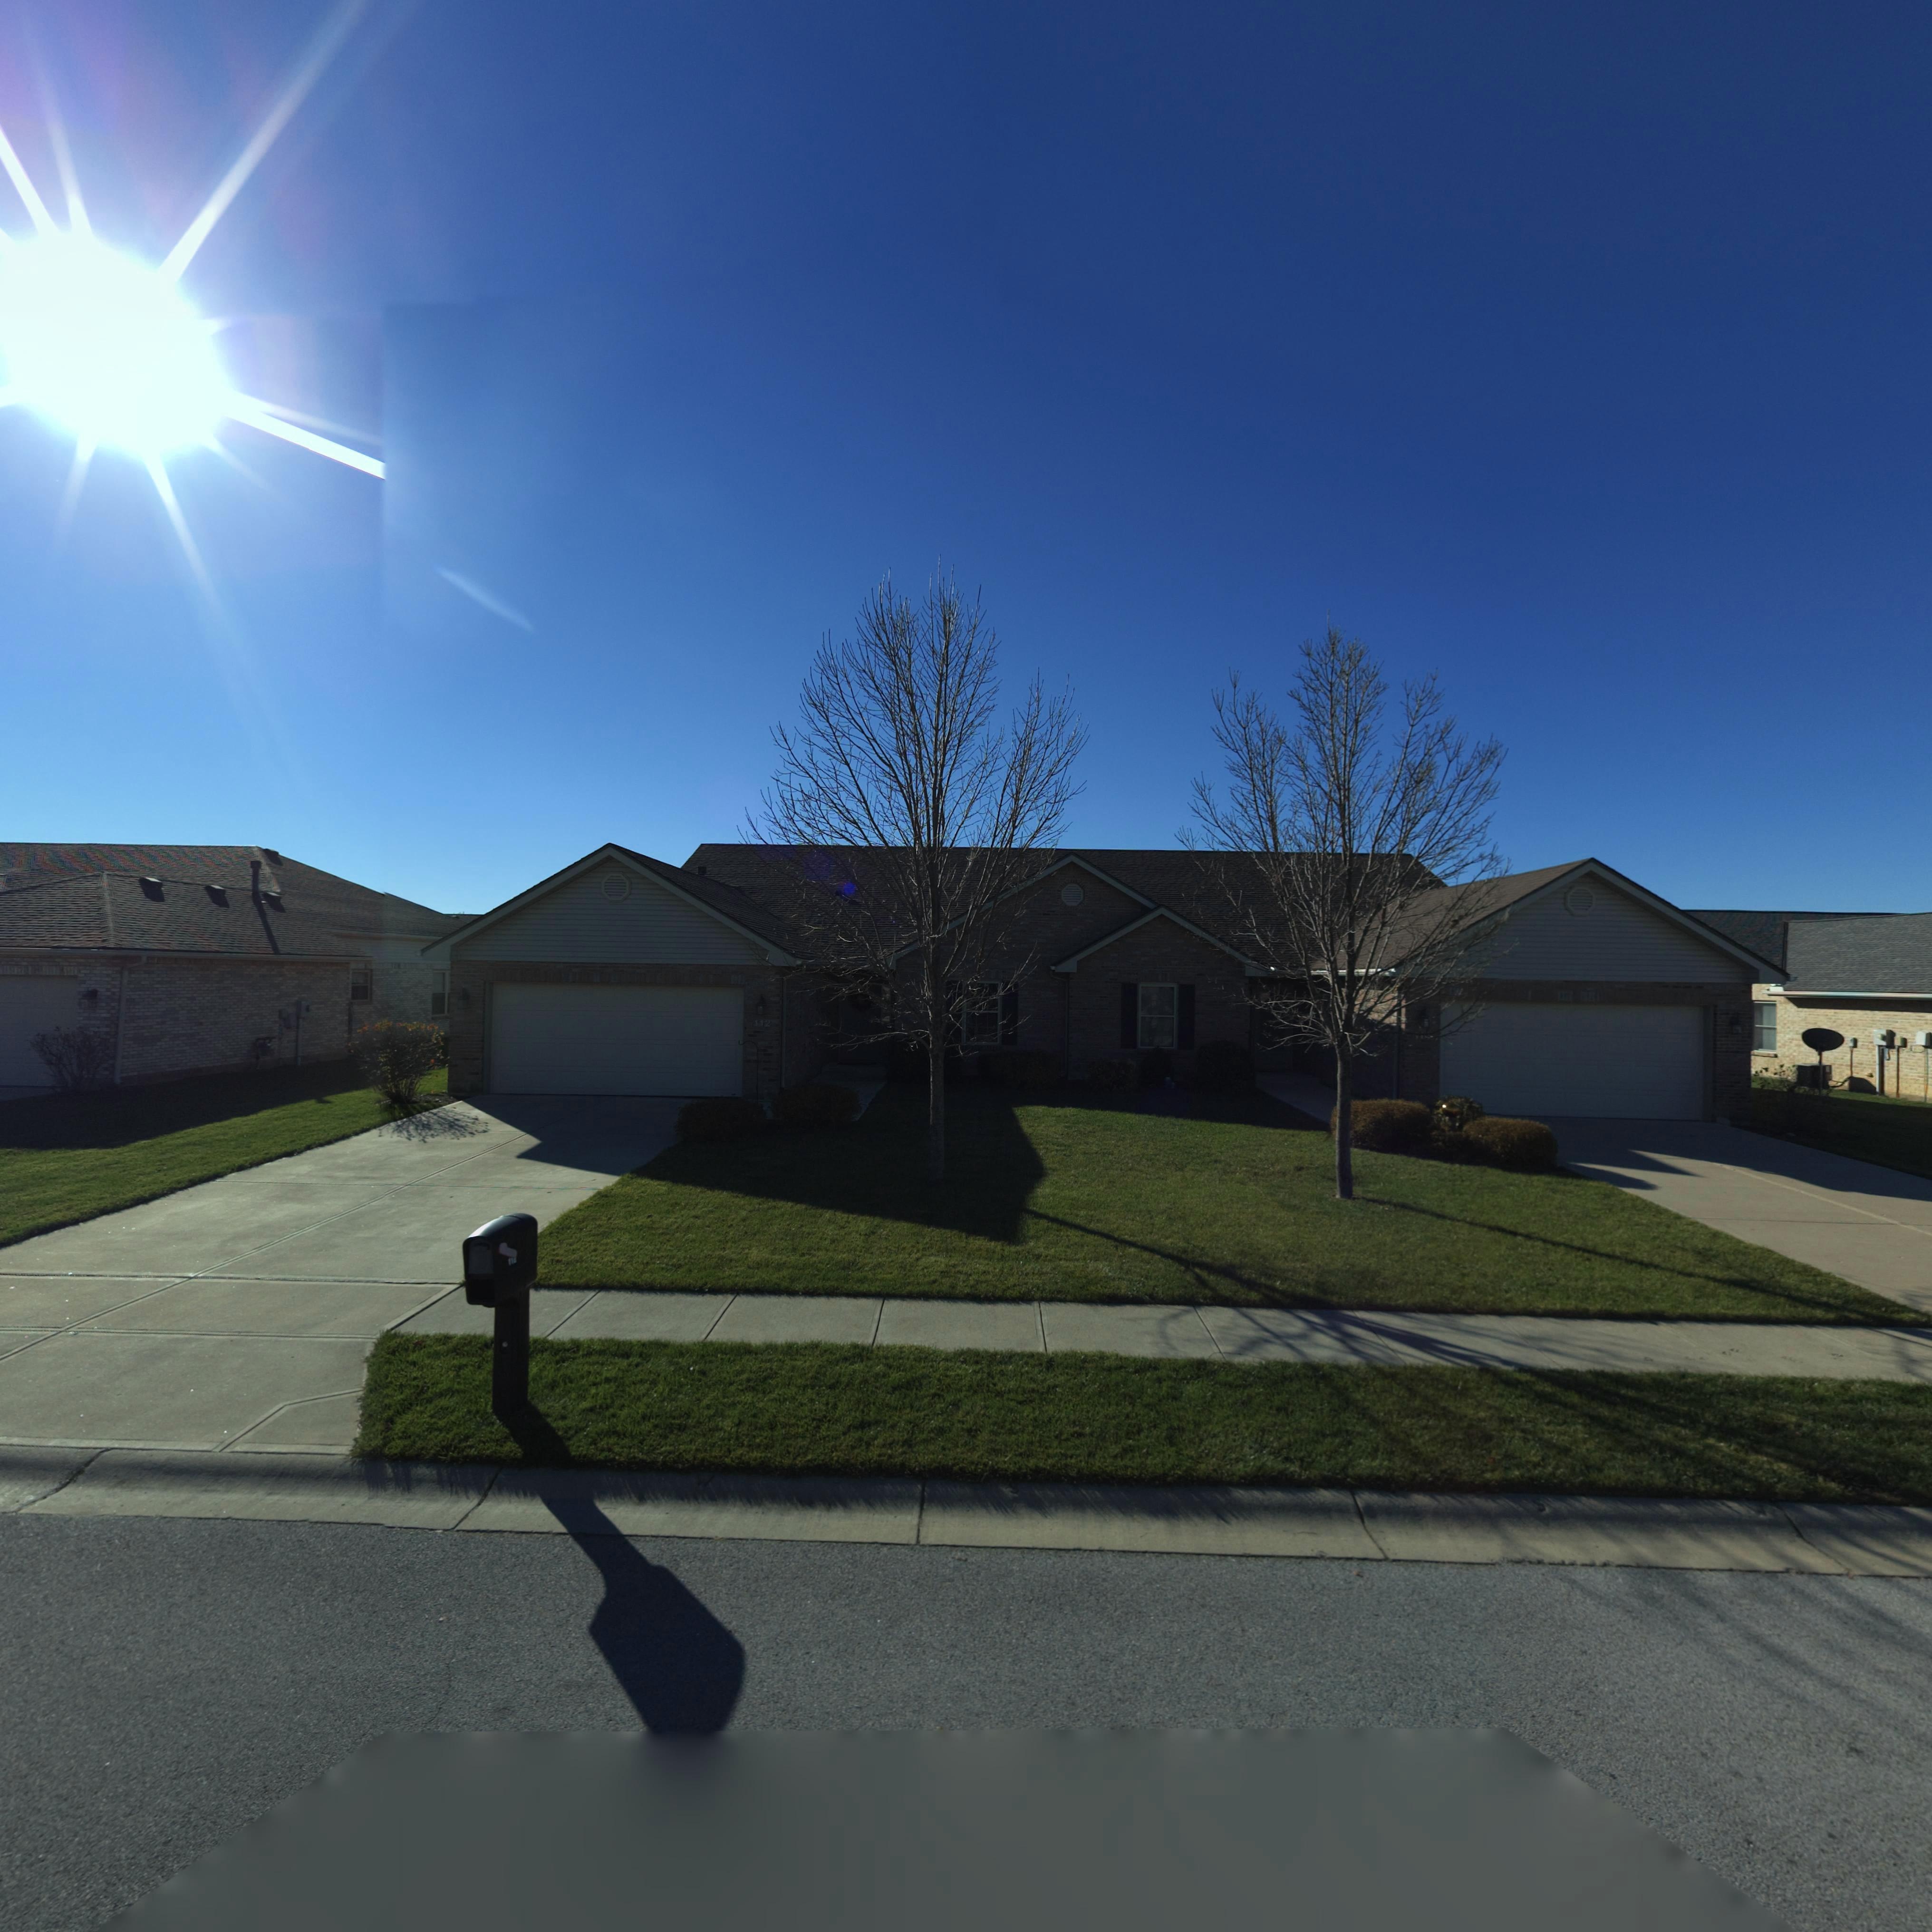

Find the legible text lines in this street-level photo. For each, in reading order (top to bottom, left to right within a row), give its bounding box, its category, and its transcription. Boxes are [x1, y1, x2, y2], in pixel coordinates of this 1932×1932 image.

[753, 1018, 772, 1028] StreetNumber: 112